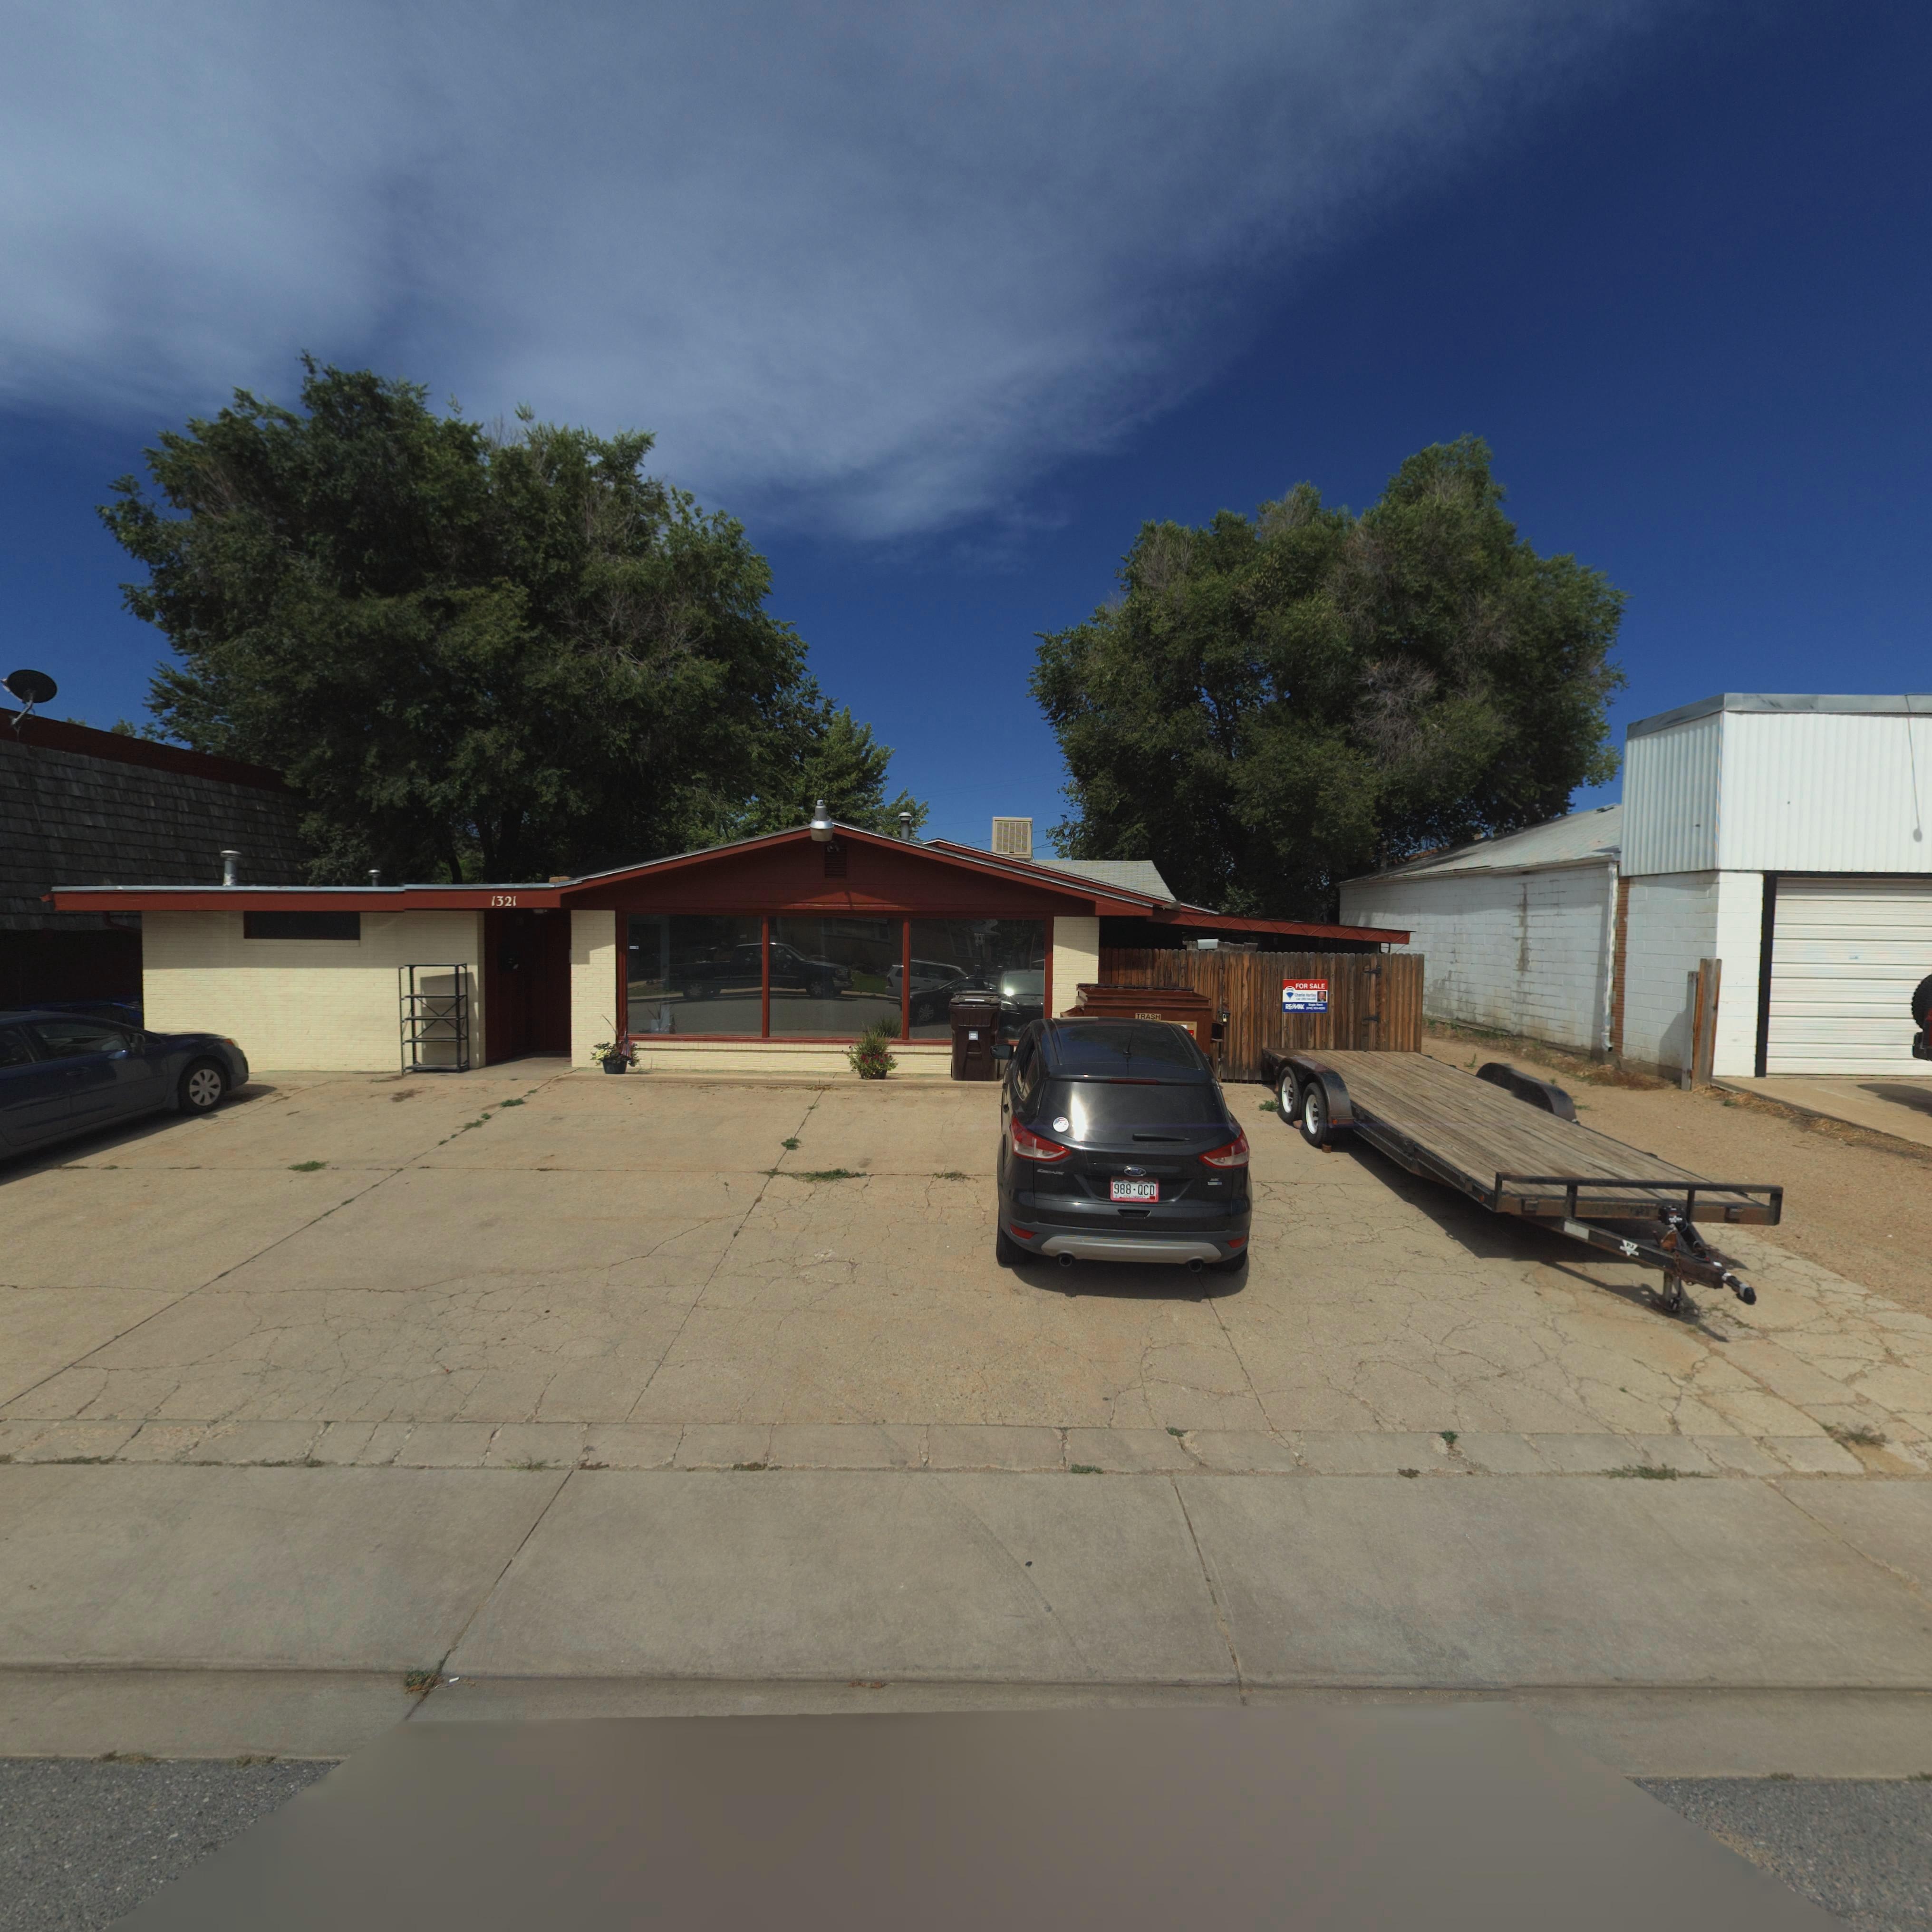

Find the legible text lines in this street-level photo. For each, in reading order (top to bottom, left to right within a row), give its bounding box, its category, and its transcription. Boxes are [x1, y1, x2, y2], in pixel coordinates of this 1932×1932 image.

[491, 895, 517, 907] StreetNumber: 1321